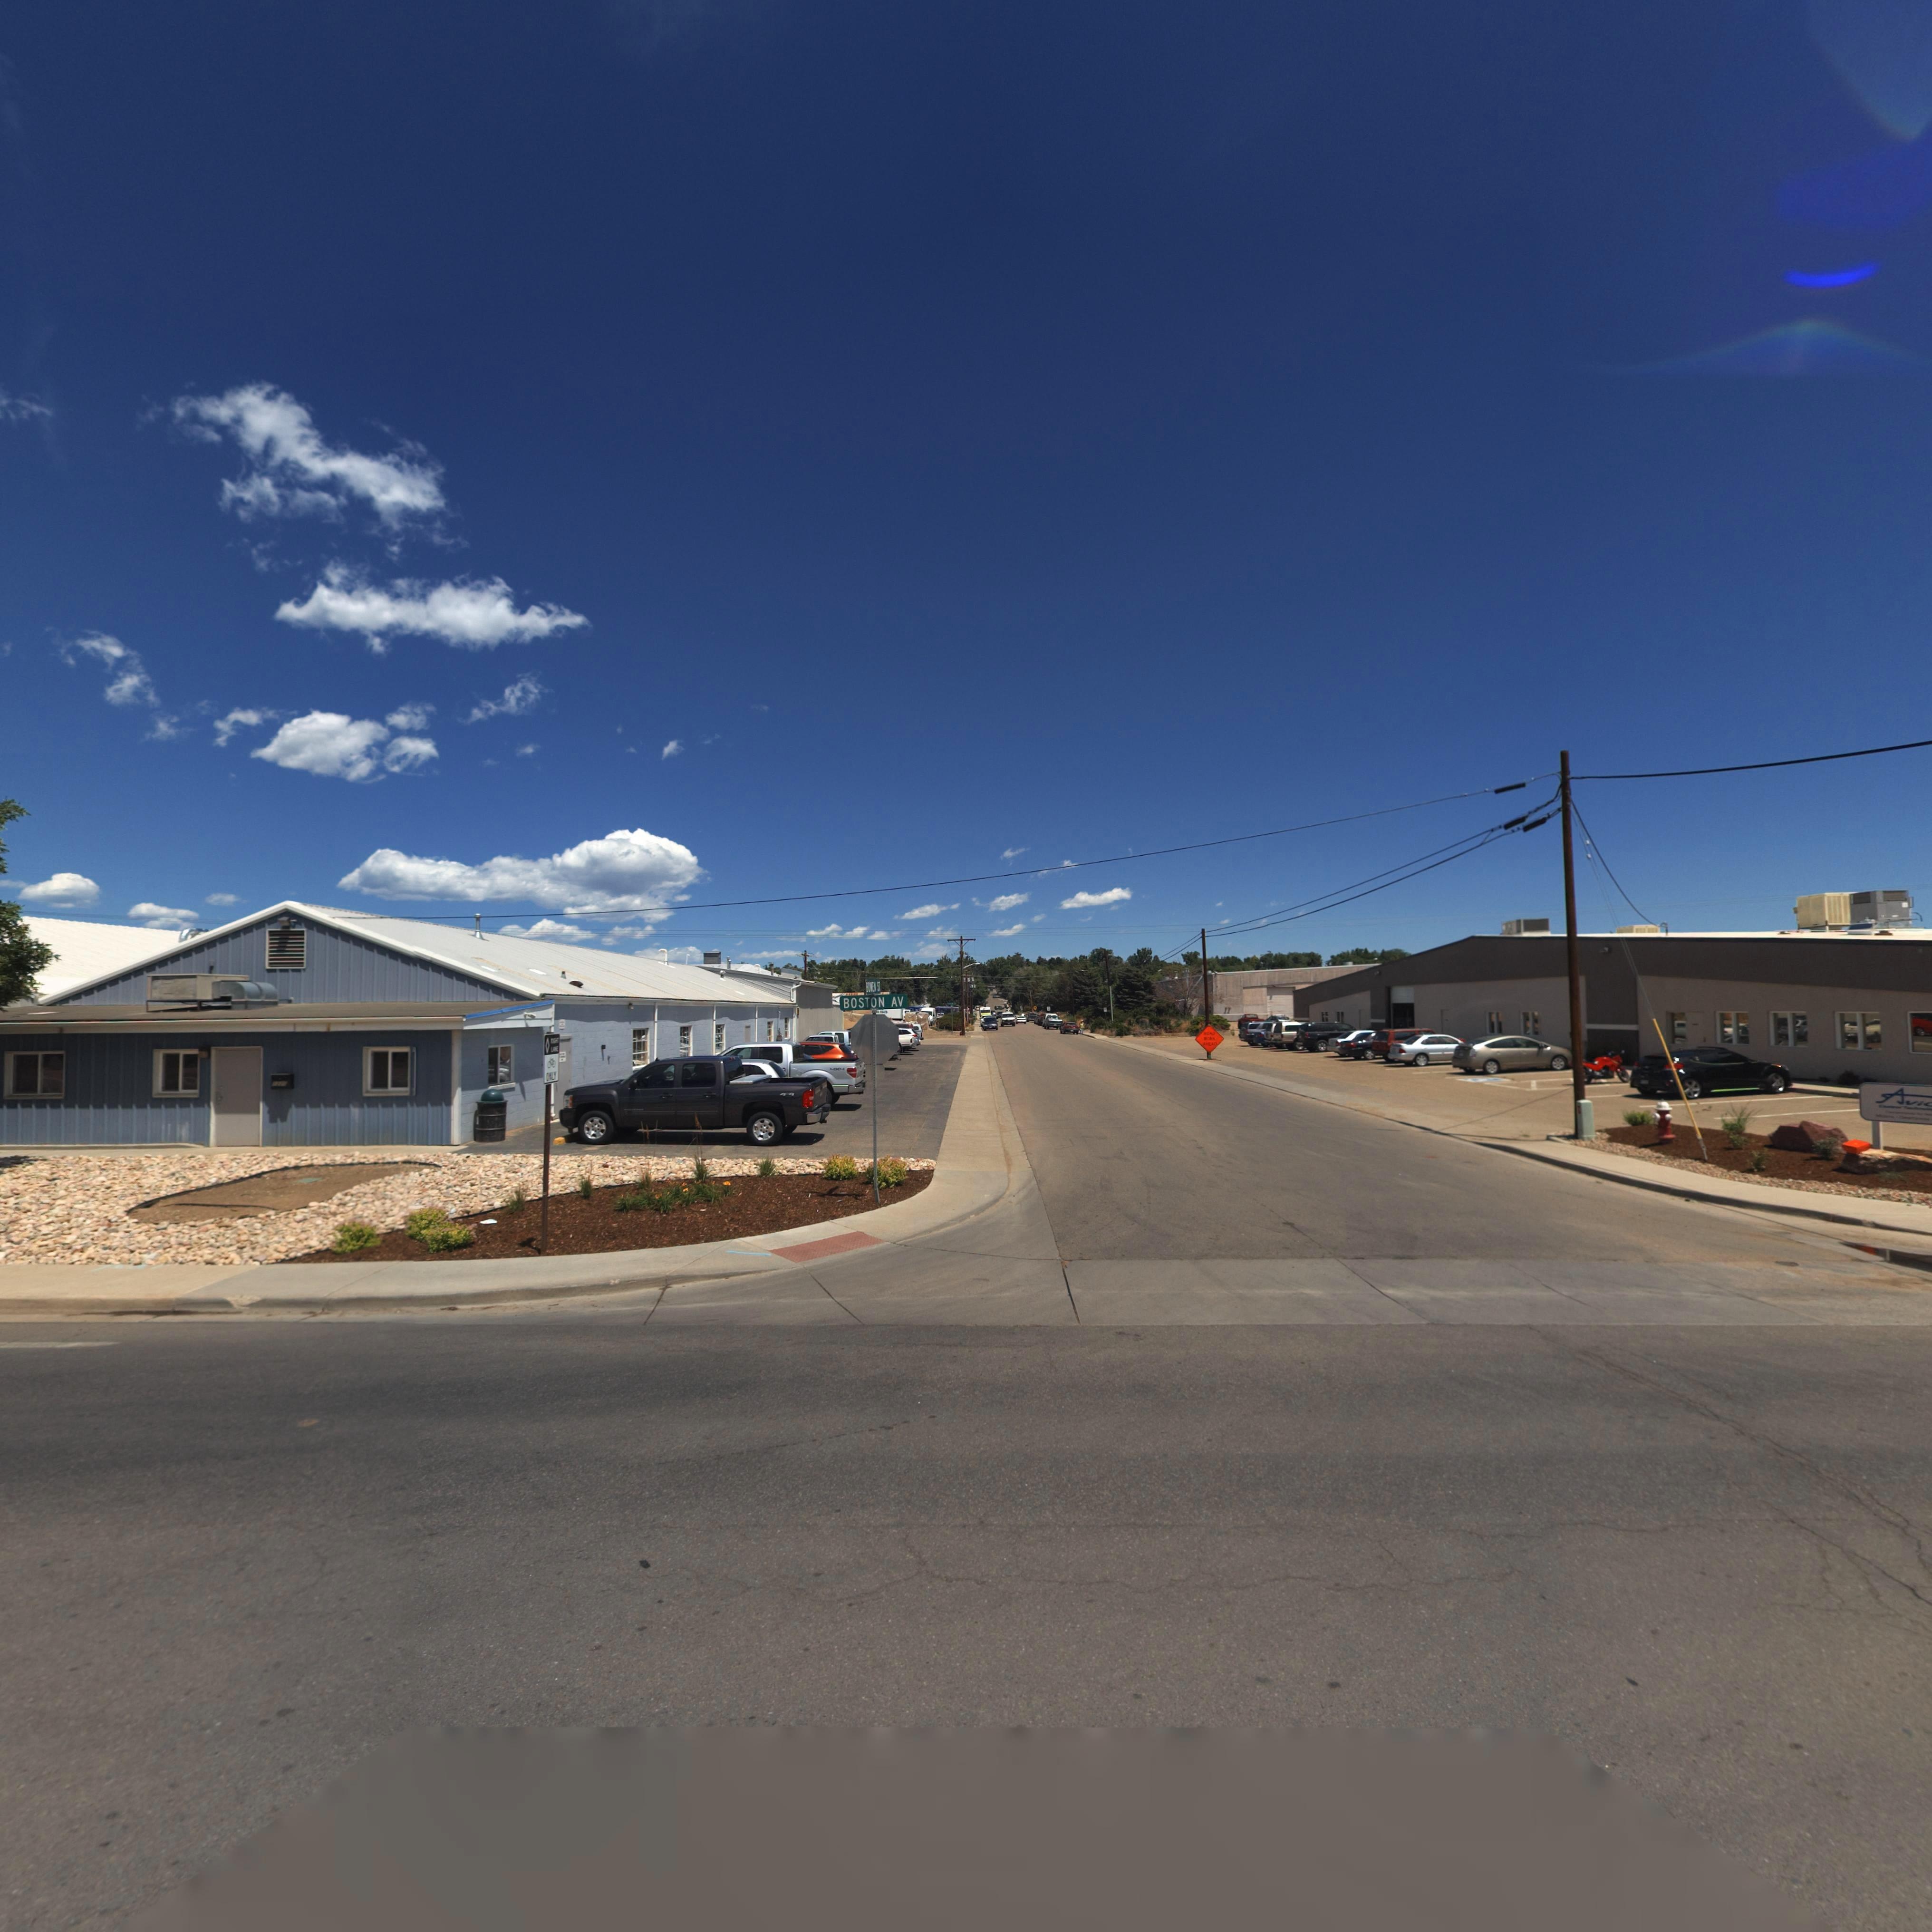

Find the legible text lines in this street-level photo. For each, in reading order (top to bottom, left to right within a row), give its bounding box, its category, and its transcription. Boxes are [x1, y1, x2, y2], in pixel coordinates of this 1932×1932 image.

[865, 981, 880, 993] StreetName: BOWEN ST
[843, 996, 903, 1008] StreetName: BOSTON AV
[271, 1081, 288, 1086] StreetNumber: *22*
[1874, 1086, 1925, 1107] BusinessName: Avi